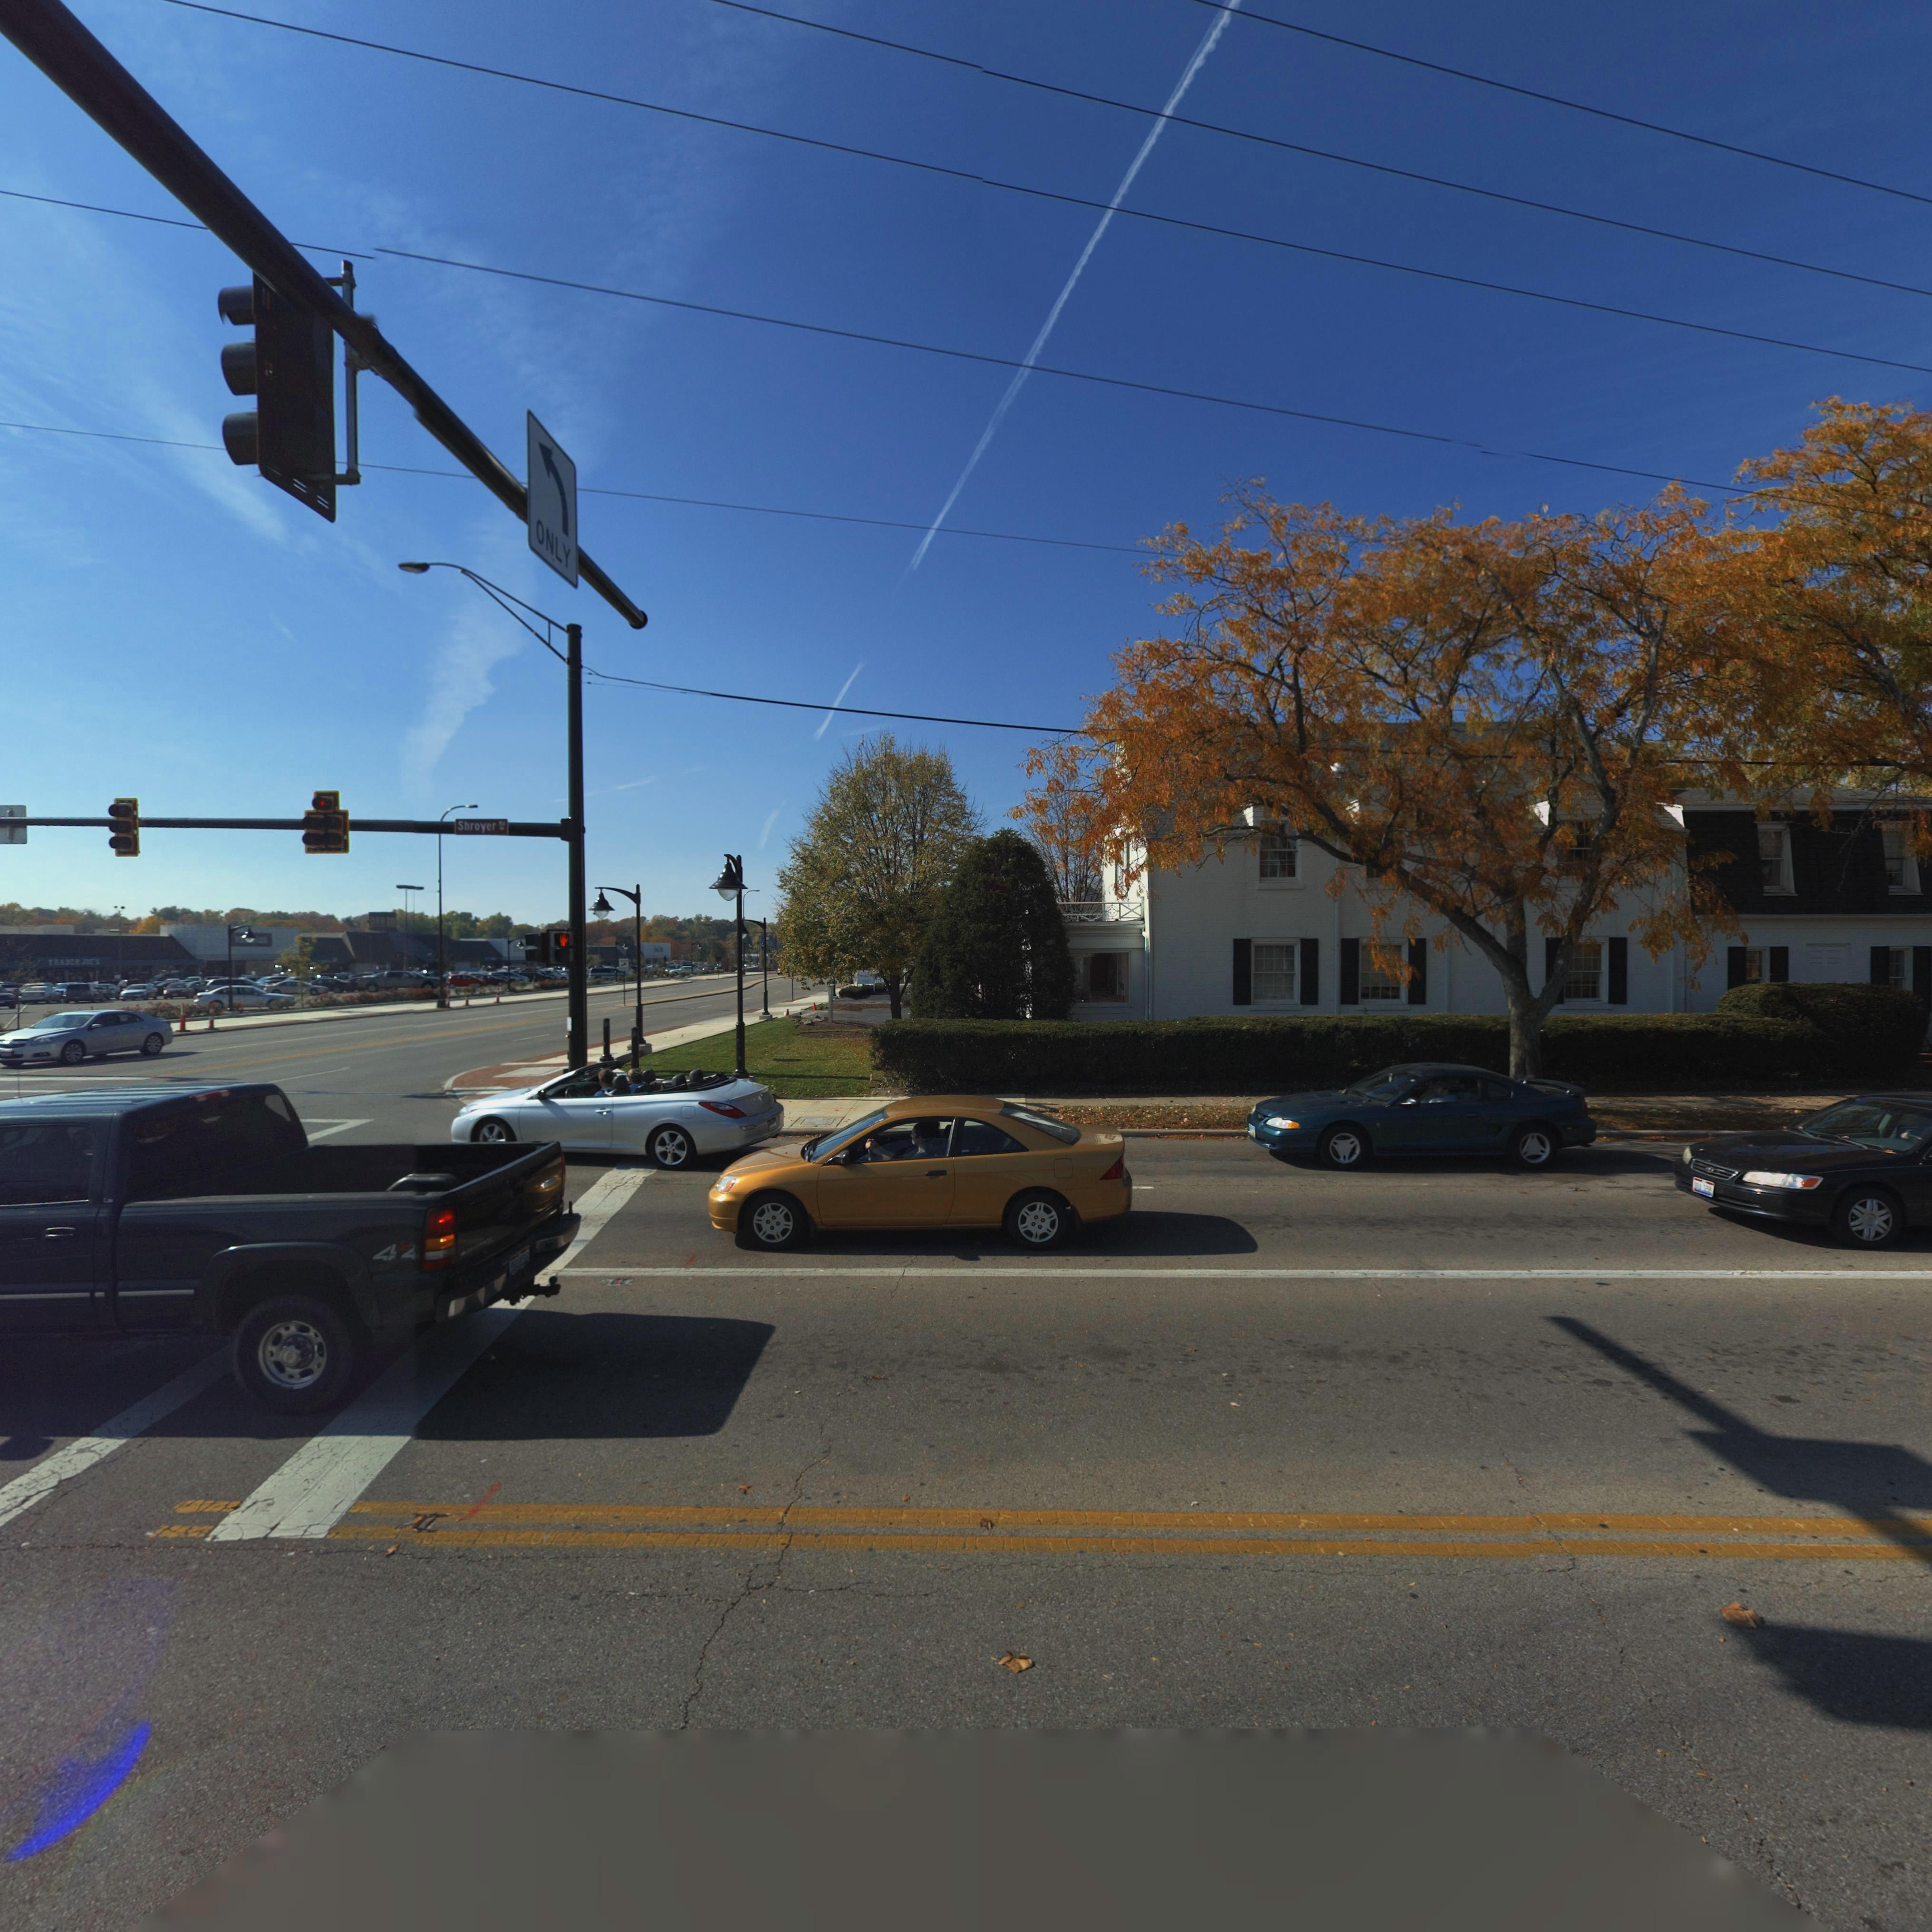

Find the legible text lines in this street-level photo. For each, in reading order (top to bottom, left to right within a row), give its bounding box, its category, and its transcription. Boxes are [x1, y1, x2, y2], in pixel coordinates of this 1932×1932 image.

[535, 519, 572, 570] None: ONLY
[457, 820, 497, 834] StreetName: Shroyer
[48, 958, 101, 966] BusinessName: TRADE* JOES
[1702, 1184, 1708, 1192] None: 32
[371, 1242, 417, 1261] None: 4x4